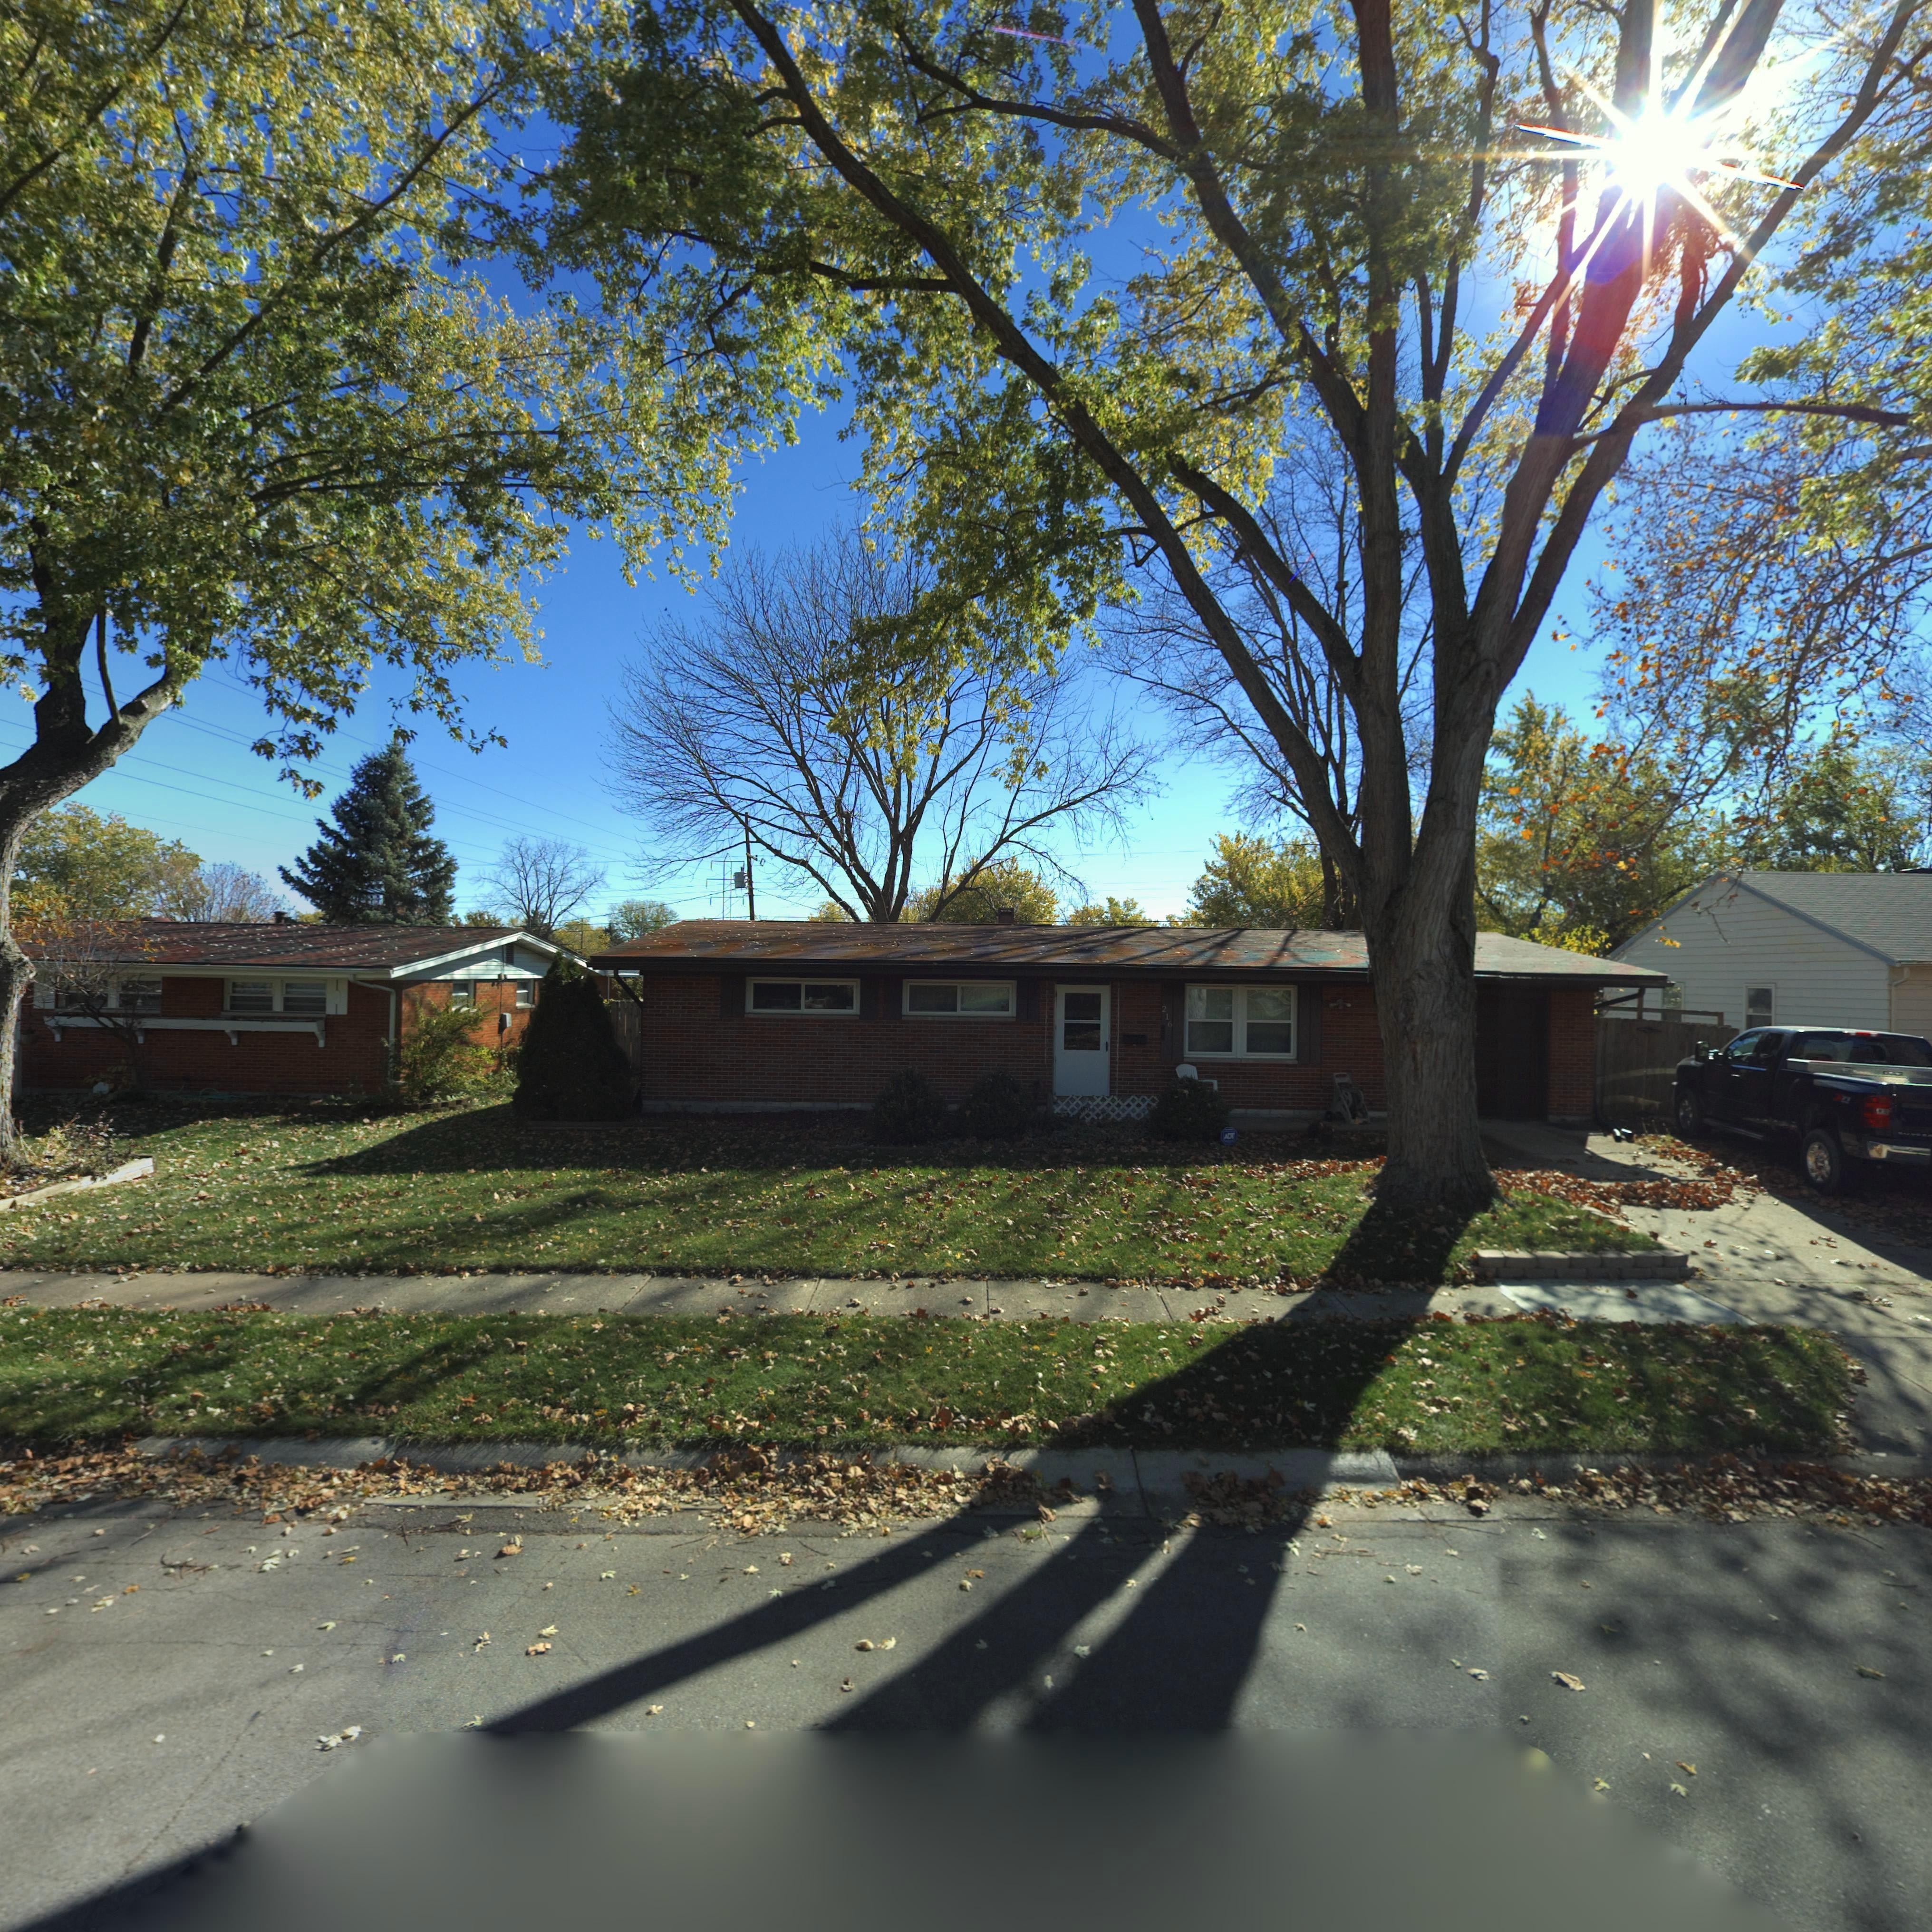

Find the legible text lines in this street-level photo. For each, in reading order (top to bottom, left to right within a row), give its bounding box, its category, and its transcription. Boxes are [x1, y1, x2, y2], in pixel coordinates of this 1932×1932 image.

[1161, 1005, 1174, 1029] StreetNumber: 216